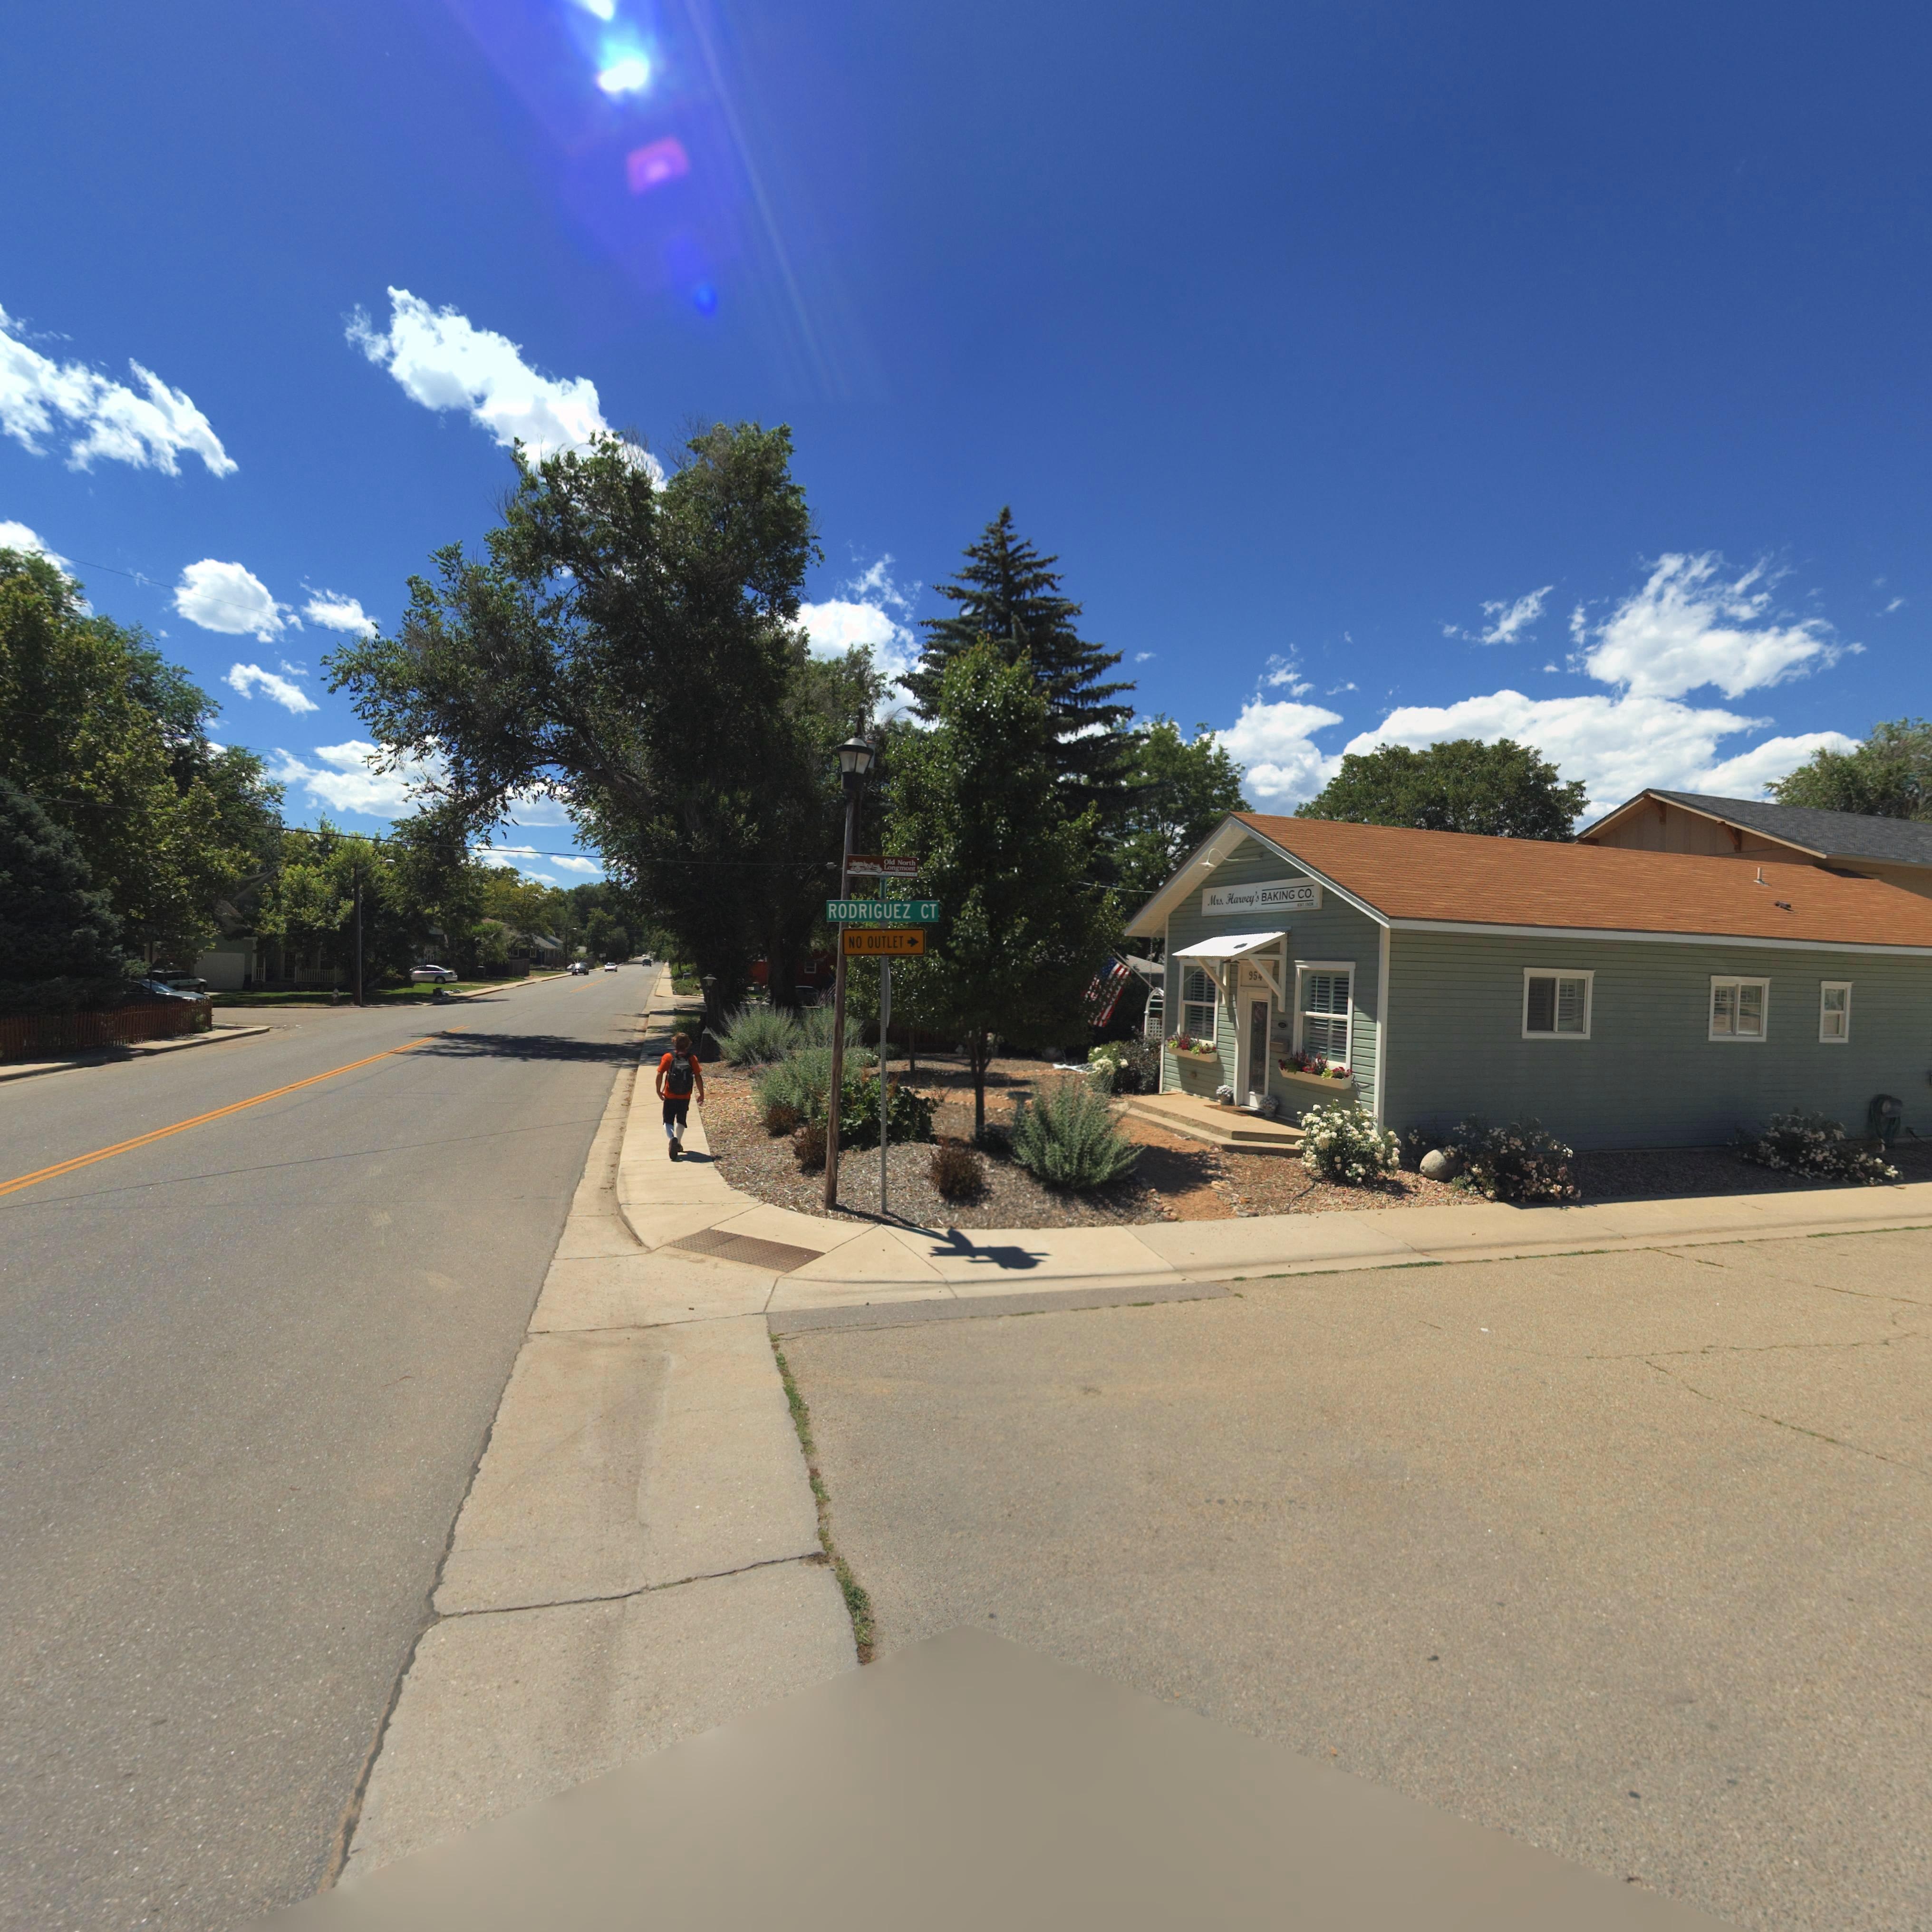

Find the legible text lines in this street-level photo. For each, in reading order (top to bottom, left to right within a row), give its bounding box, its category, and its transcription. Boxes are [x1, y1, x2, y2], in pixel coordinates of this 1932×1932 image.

[1207, 888, 1314, 906] BusinessName: Mrs. Harvey's BAKING CO.
[828, 903, 937, 918] StreetName: RODRIGUEZ CT
[1248, 971, 1262, 980] StreetNumber: 95*